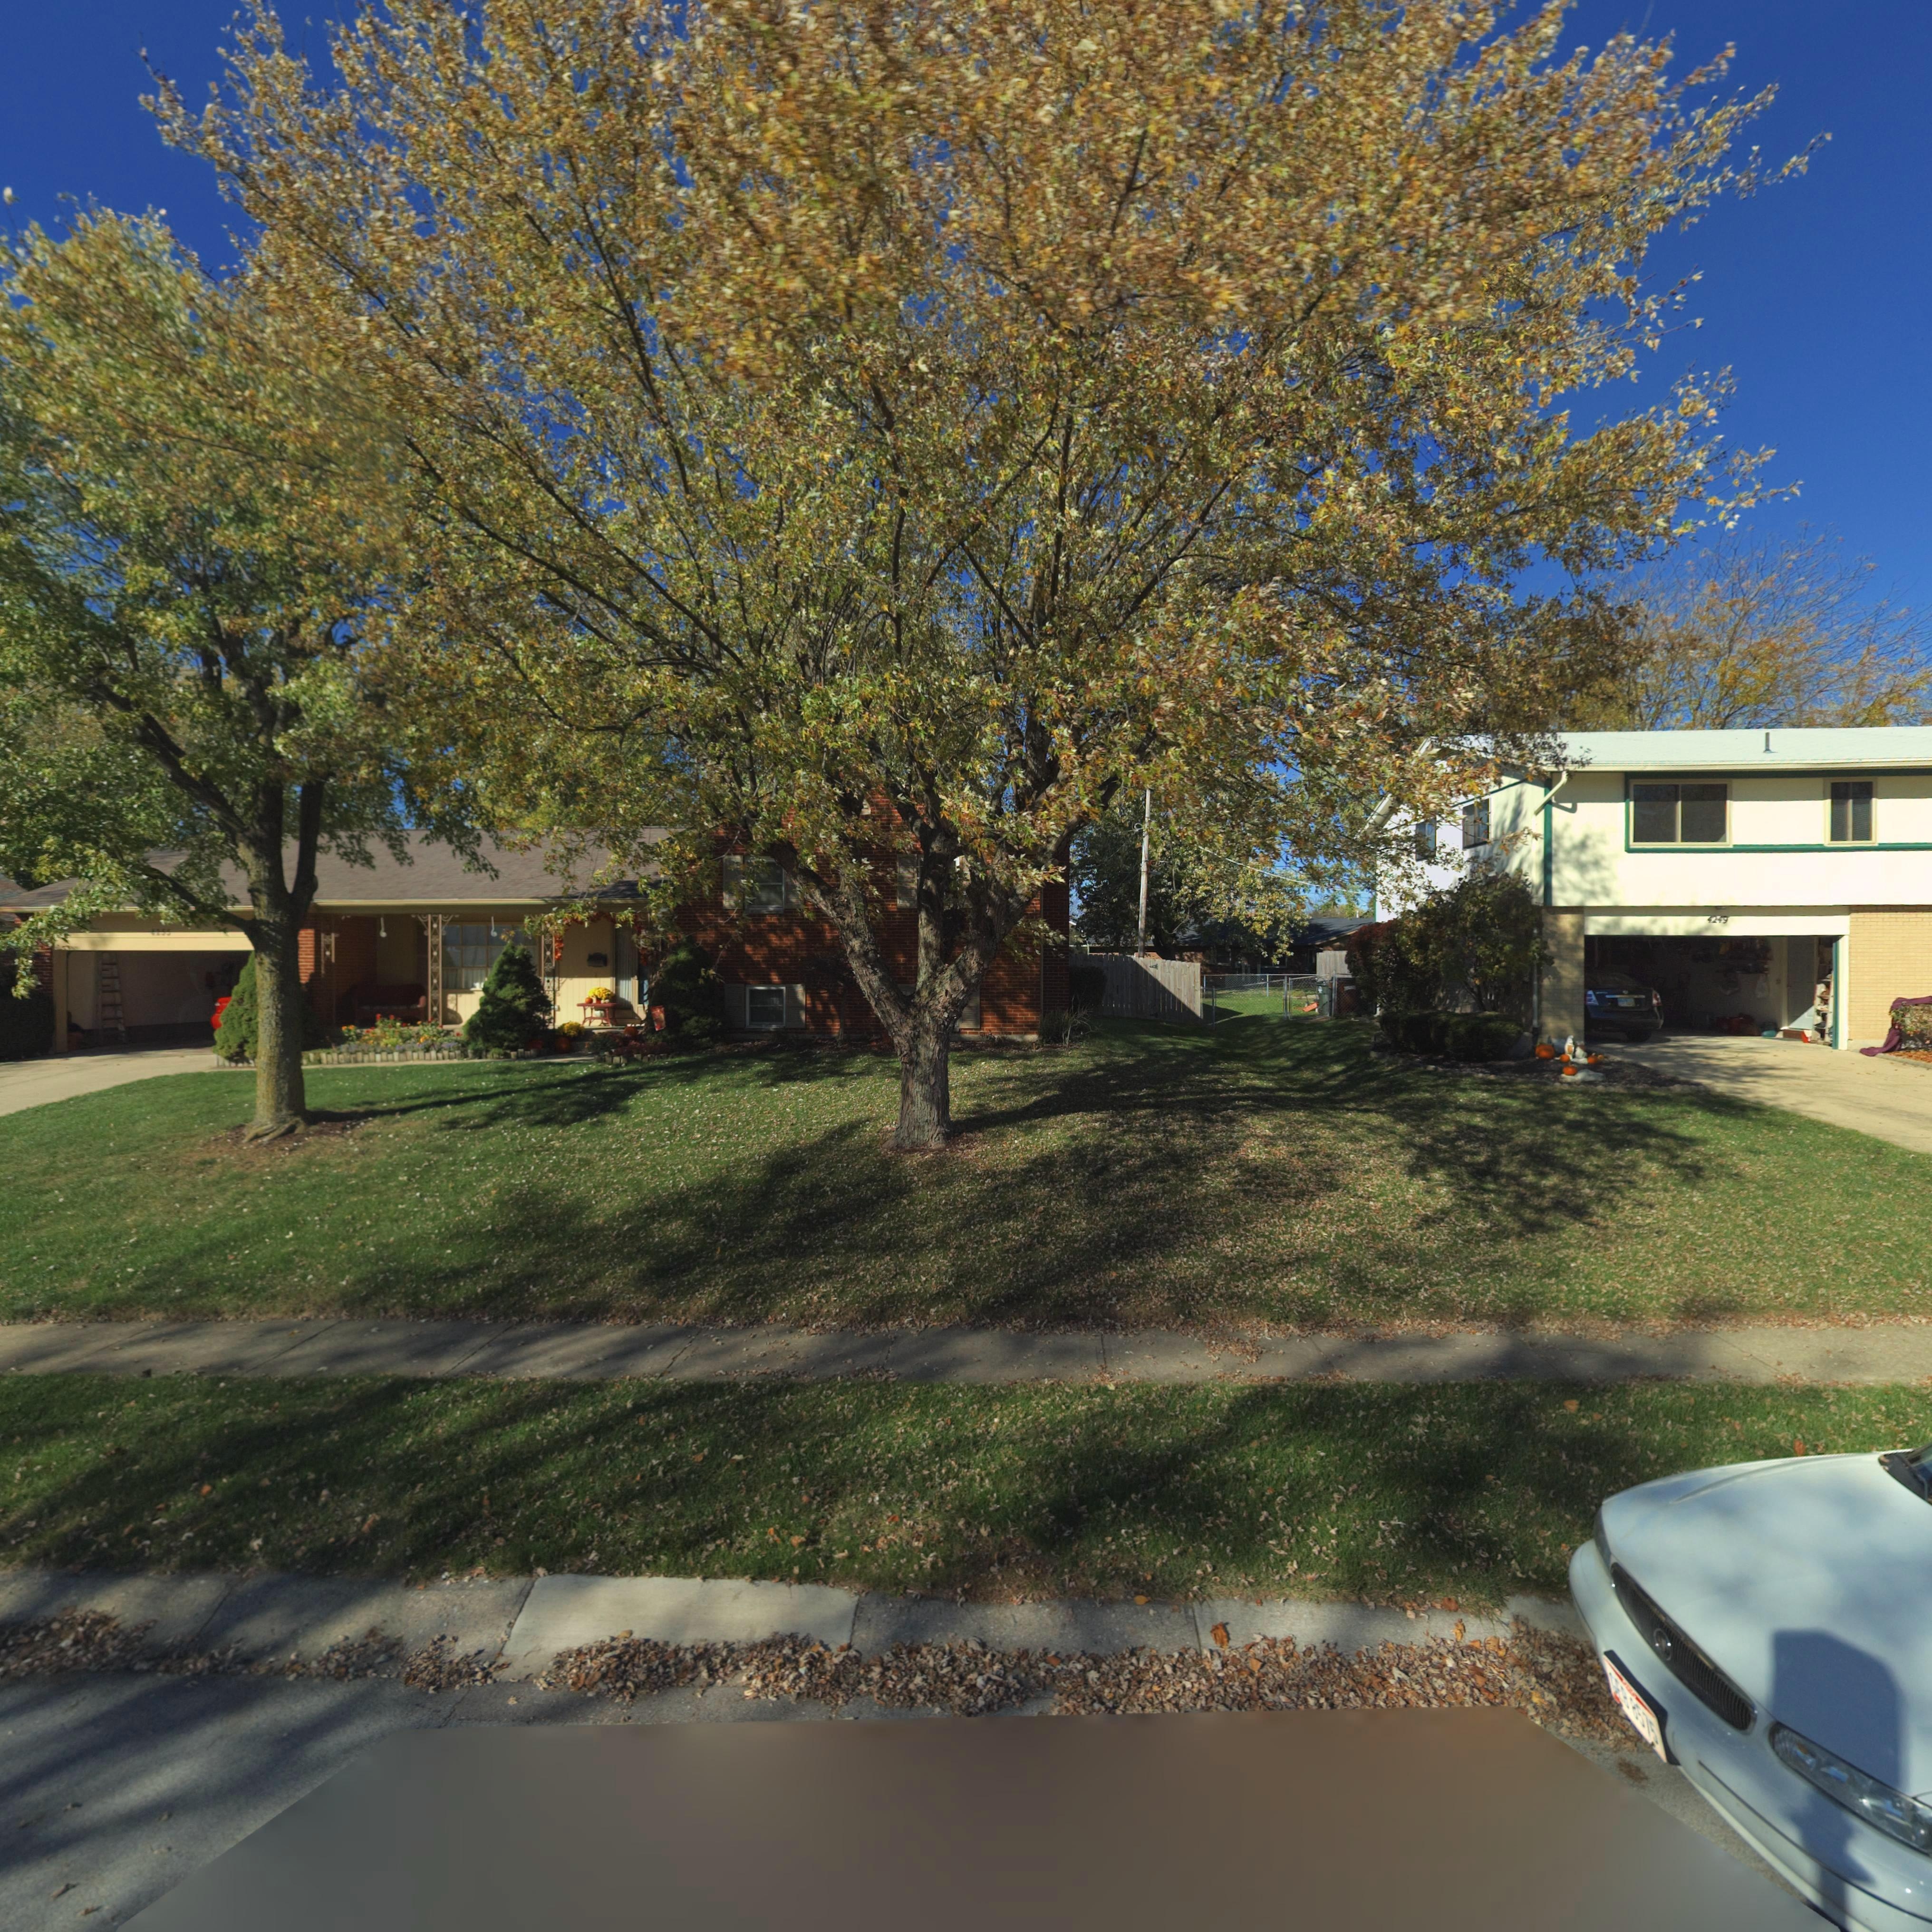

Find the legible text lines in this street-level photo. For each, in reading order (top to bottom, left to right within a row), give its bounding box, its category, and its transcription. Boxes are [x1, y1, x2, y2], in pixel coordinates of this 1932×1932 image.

[1706, 914, 1729, 925] StreetNumber: 4249
[149, 927, 172, 937] StreetNumber: **55